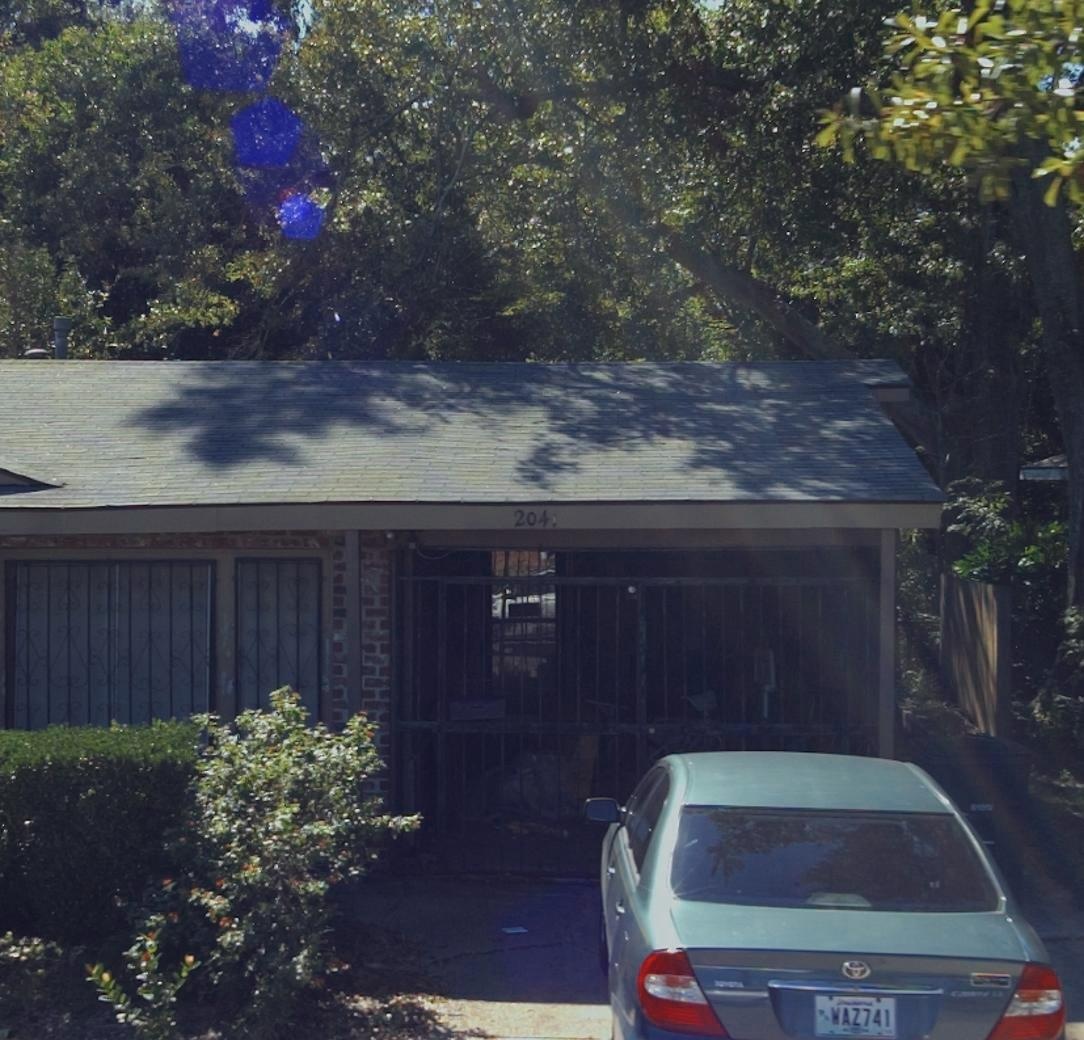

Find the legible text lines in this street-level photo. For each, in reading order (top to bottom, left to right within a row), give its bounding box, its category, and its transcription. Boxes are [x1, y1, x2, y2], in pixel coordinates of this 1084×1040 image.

[513, 508, 558, 529] StreetNumber: 2041
[828, 1005, 893, 1029] None: WAZ741